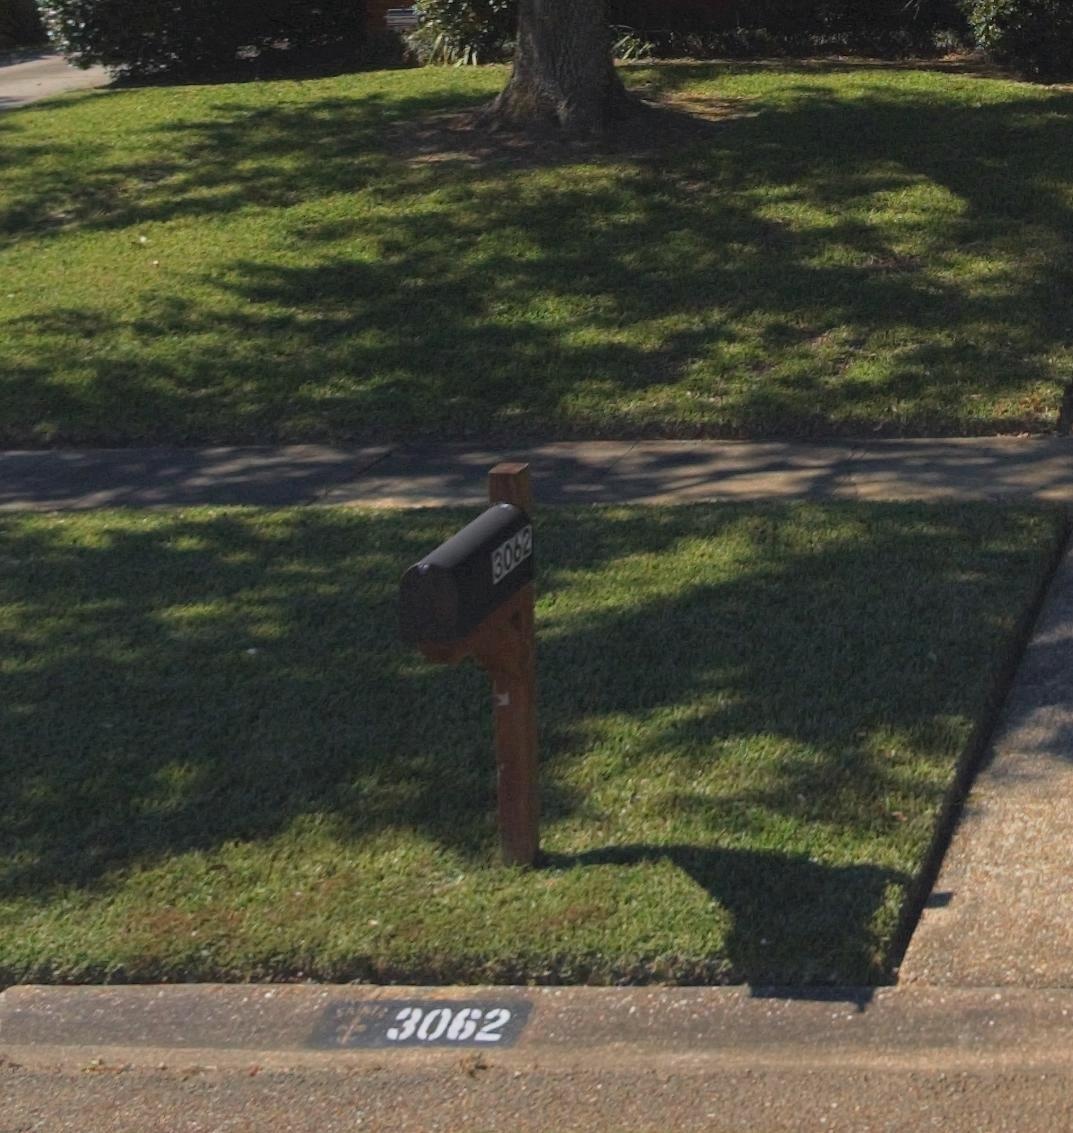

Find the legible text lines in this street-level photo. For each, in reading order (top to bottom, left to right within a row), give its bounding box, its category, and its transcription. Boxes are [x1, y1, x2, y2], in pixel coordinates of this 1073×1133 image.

[490, 520, 534, 587] StreetNumber: 3062
[332, 1000, 395, 1022] None: SAINTS
[377, 1002, 520, 1046] StreetNumber: 3062